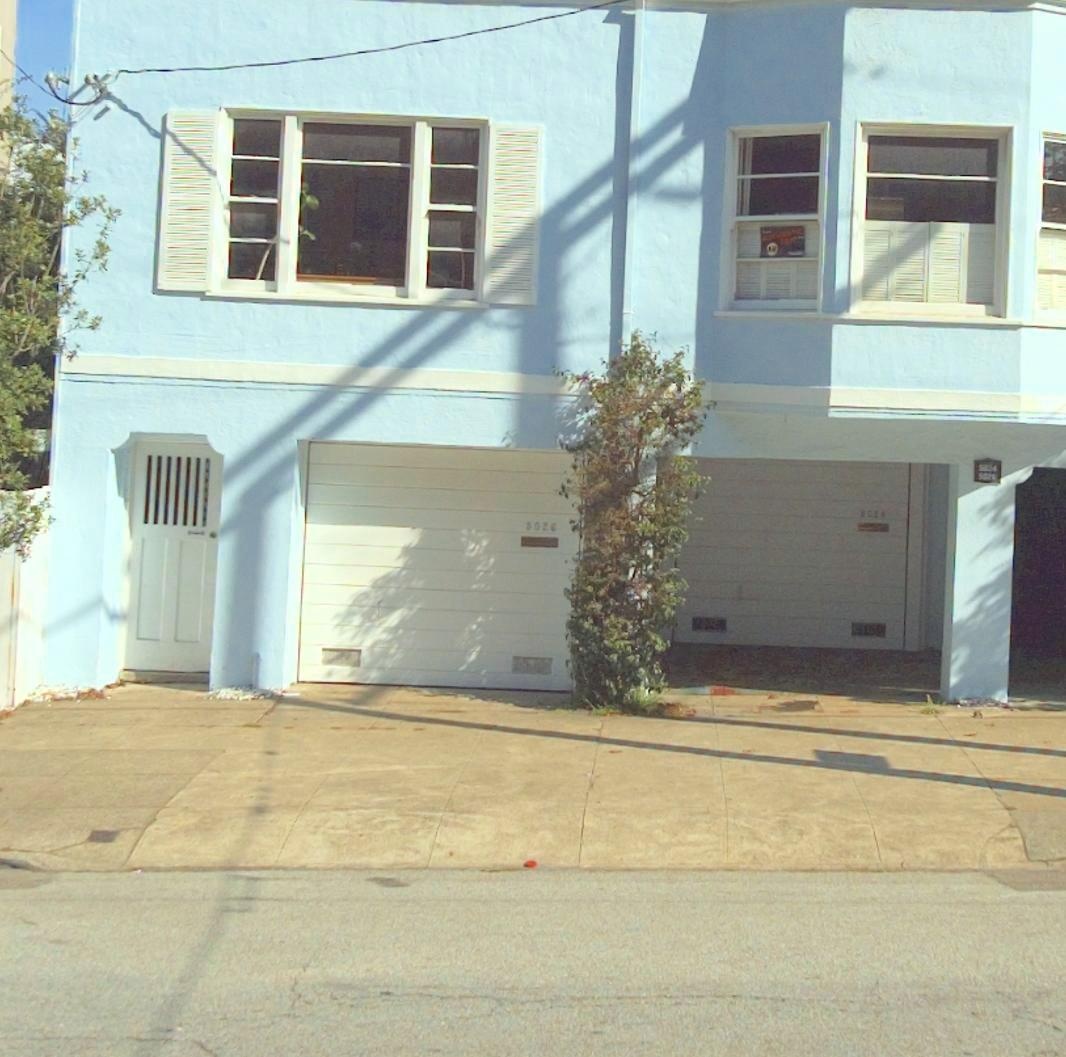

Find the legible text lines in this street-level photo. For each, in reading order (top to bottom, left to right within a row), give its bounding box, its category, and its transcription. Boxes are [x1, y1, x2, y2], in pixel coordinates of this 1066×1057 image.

[858, 507, 887, 519] StreetNumber: 5024
[525, 518, 558, 535] StreetNumber: 5026